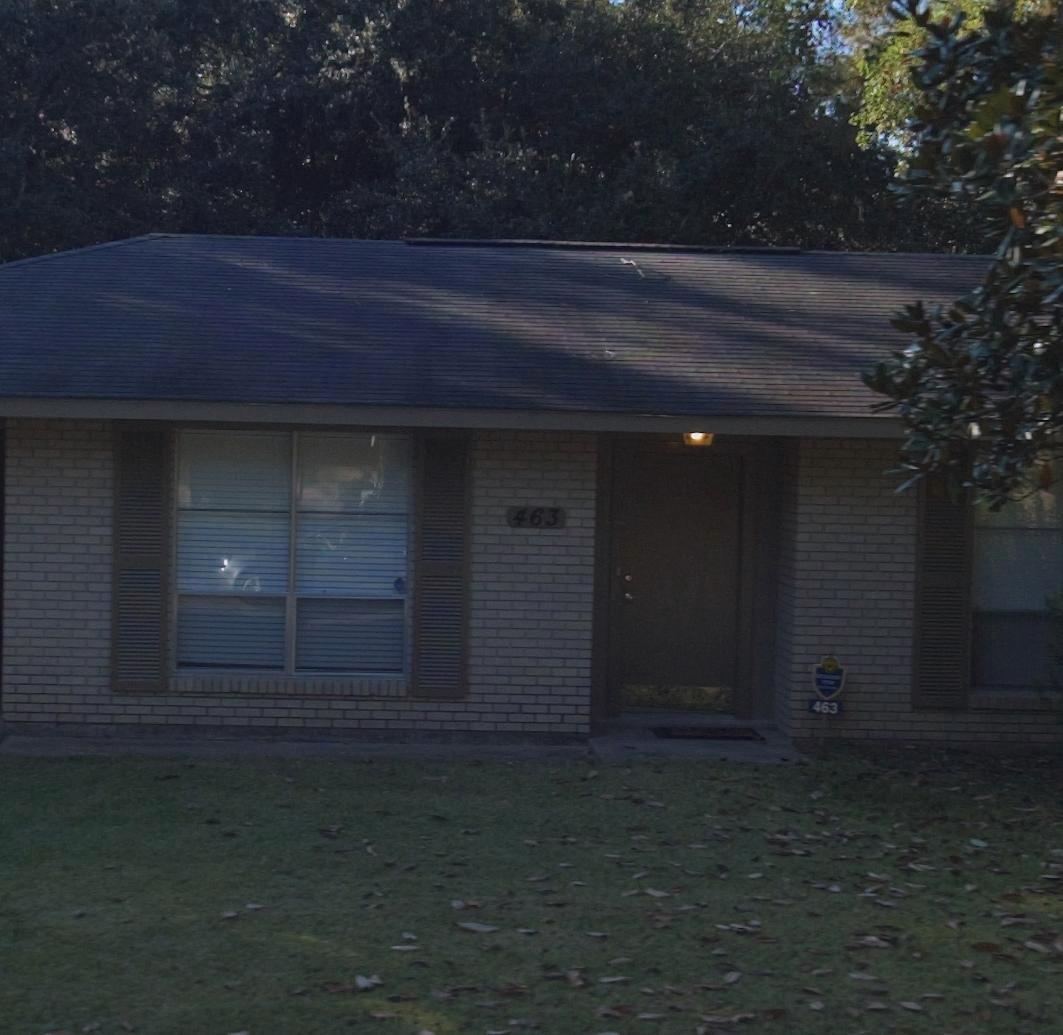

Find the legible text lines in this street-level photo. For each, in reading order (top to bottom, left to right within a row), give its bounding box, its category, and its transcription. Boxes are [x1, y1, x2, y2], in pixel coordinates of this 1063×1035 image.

[510, 505, 561, 529] StreetNumber: 463
[810, 698, 841, 716] StreetNumber: 463